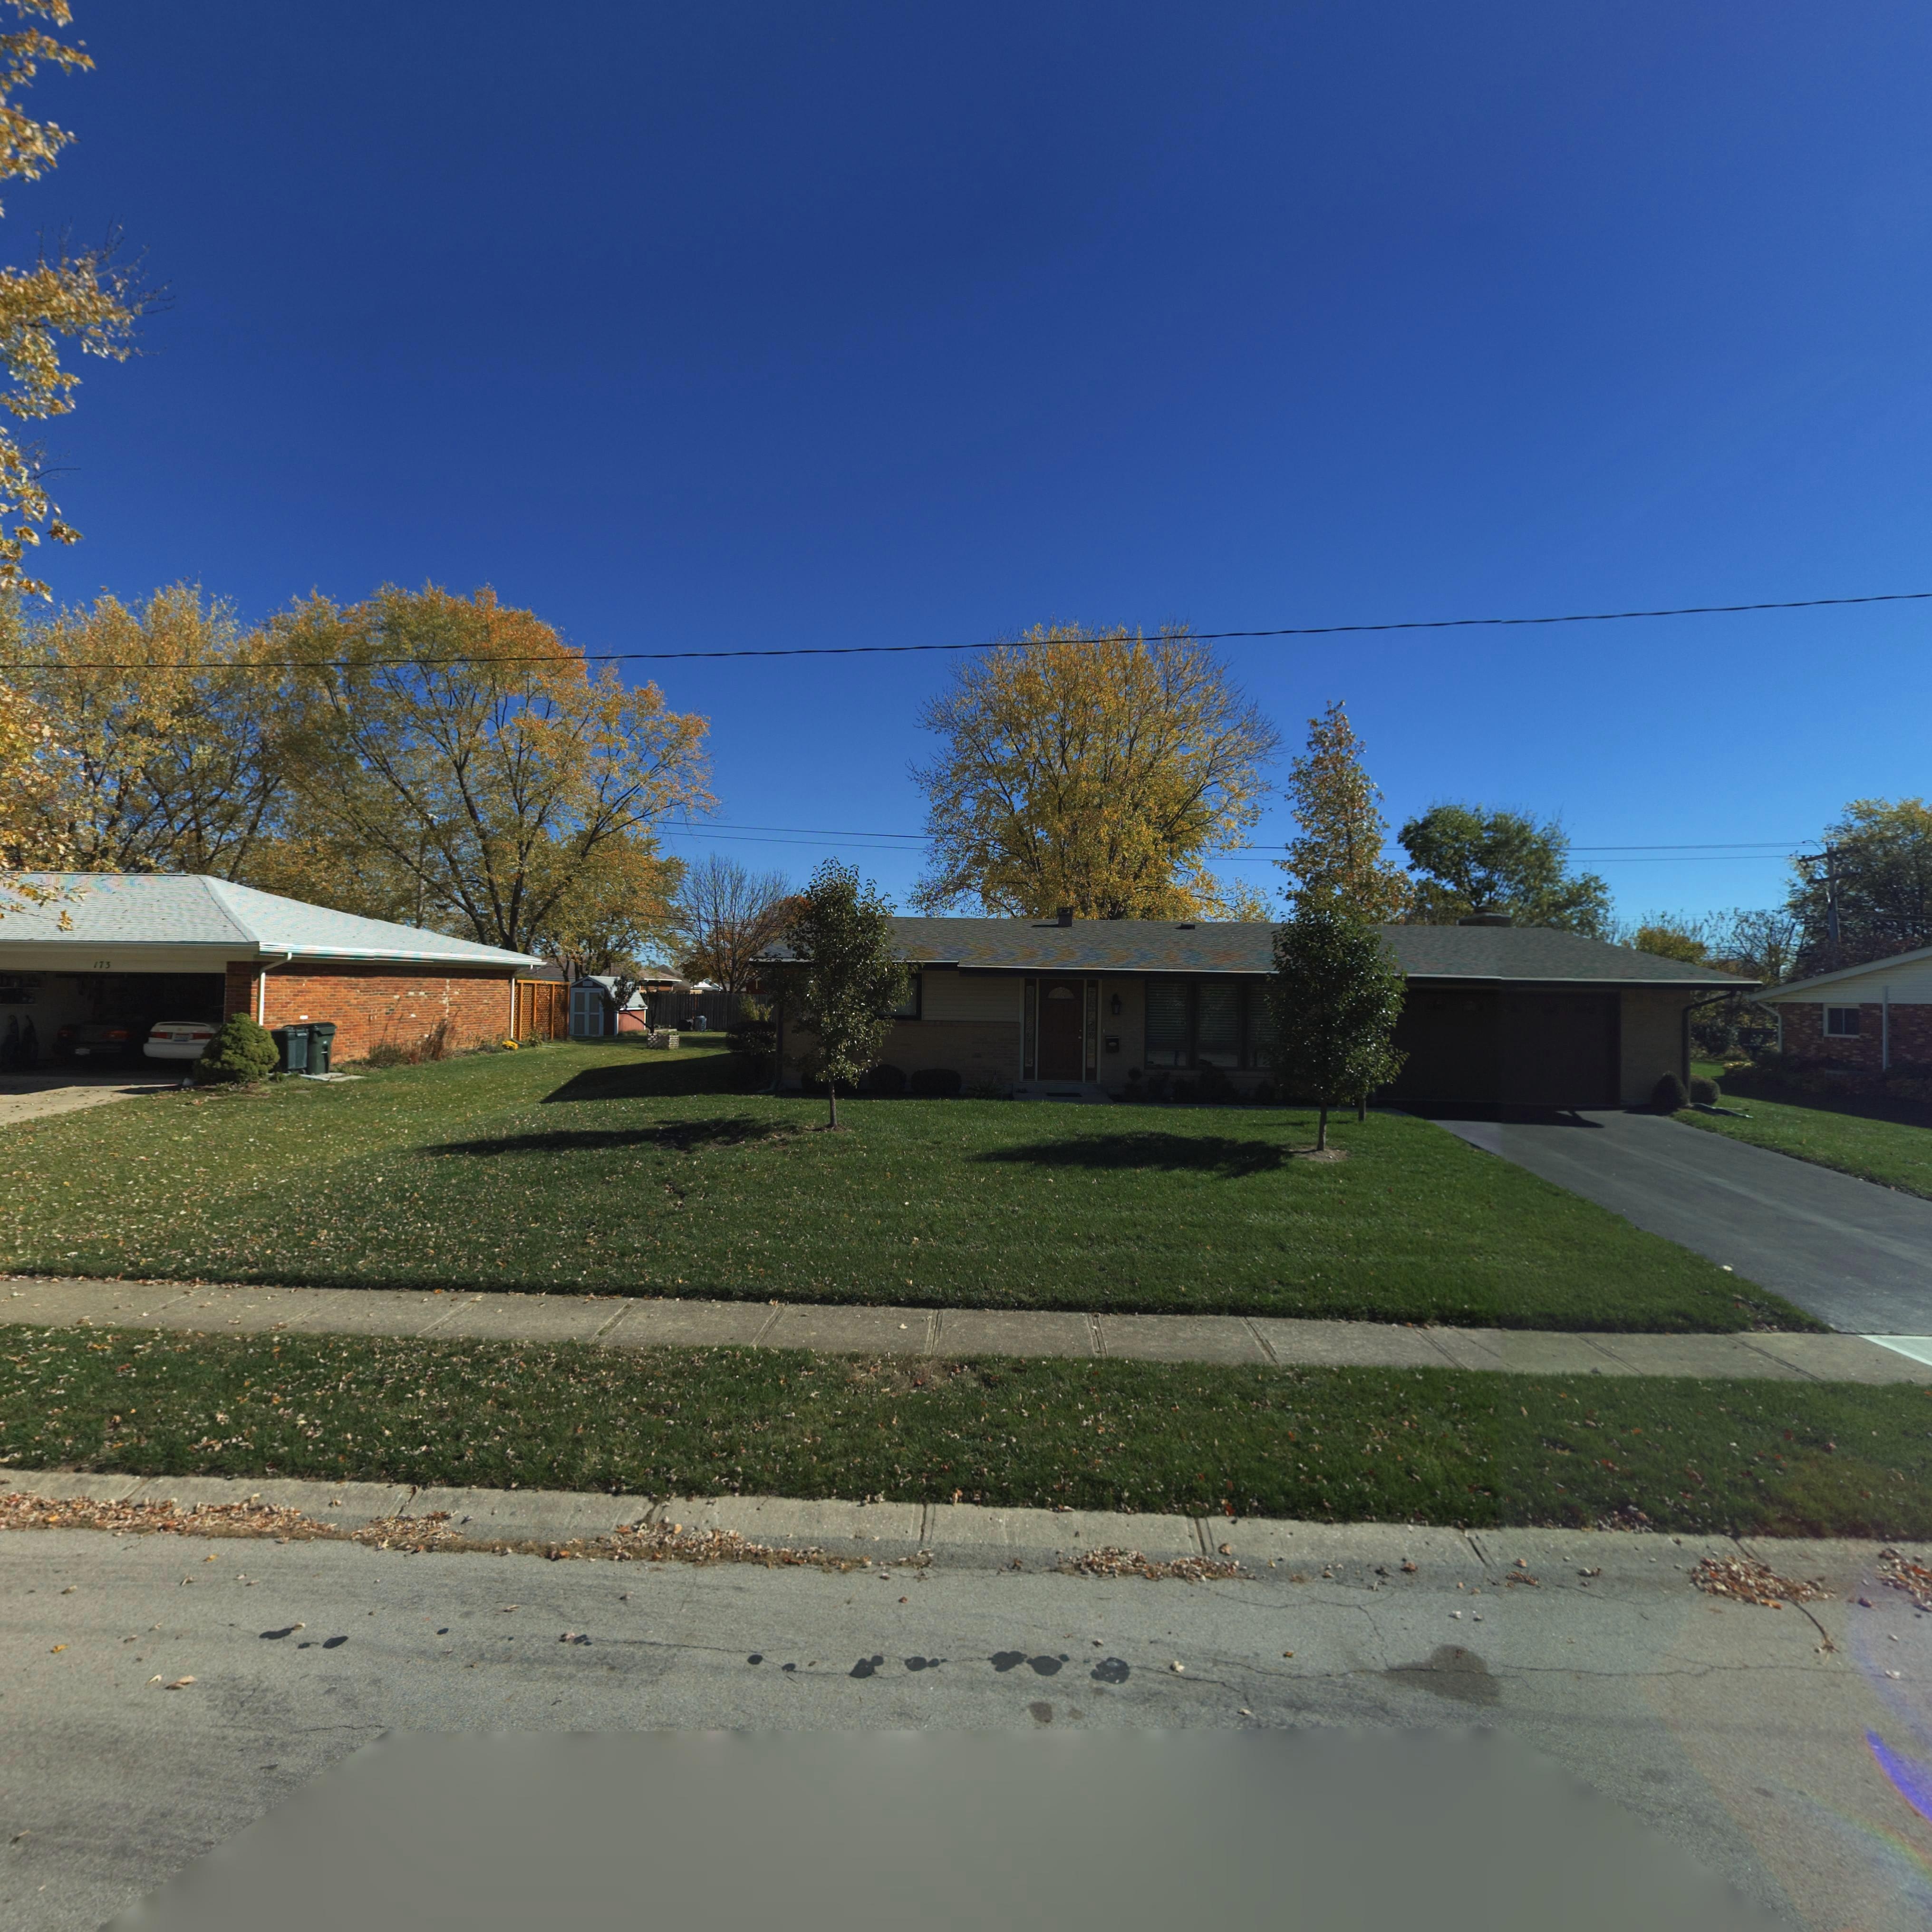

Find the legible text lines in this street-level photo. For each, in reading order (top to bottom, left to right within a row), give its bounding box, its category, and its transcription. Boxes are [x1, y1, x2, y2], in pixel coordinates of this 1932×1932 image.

[92, 960, 112, 969] StreetNumber: 175